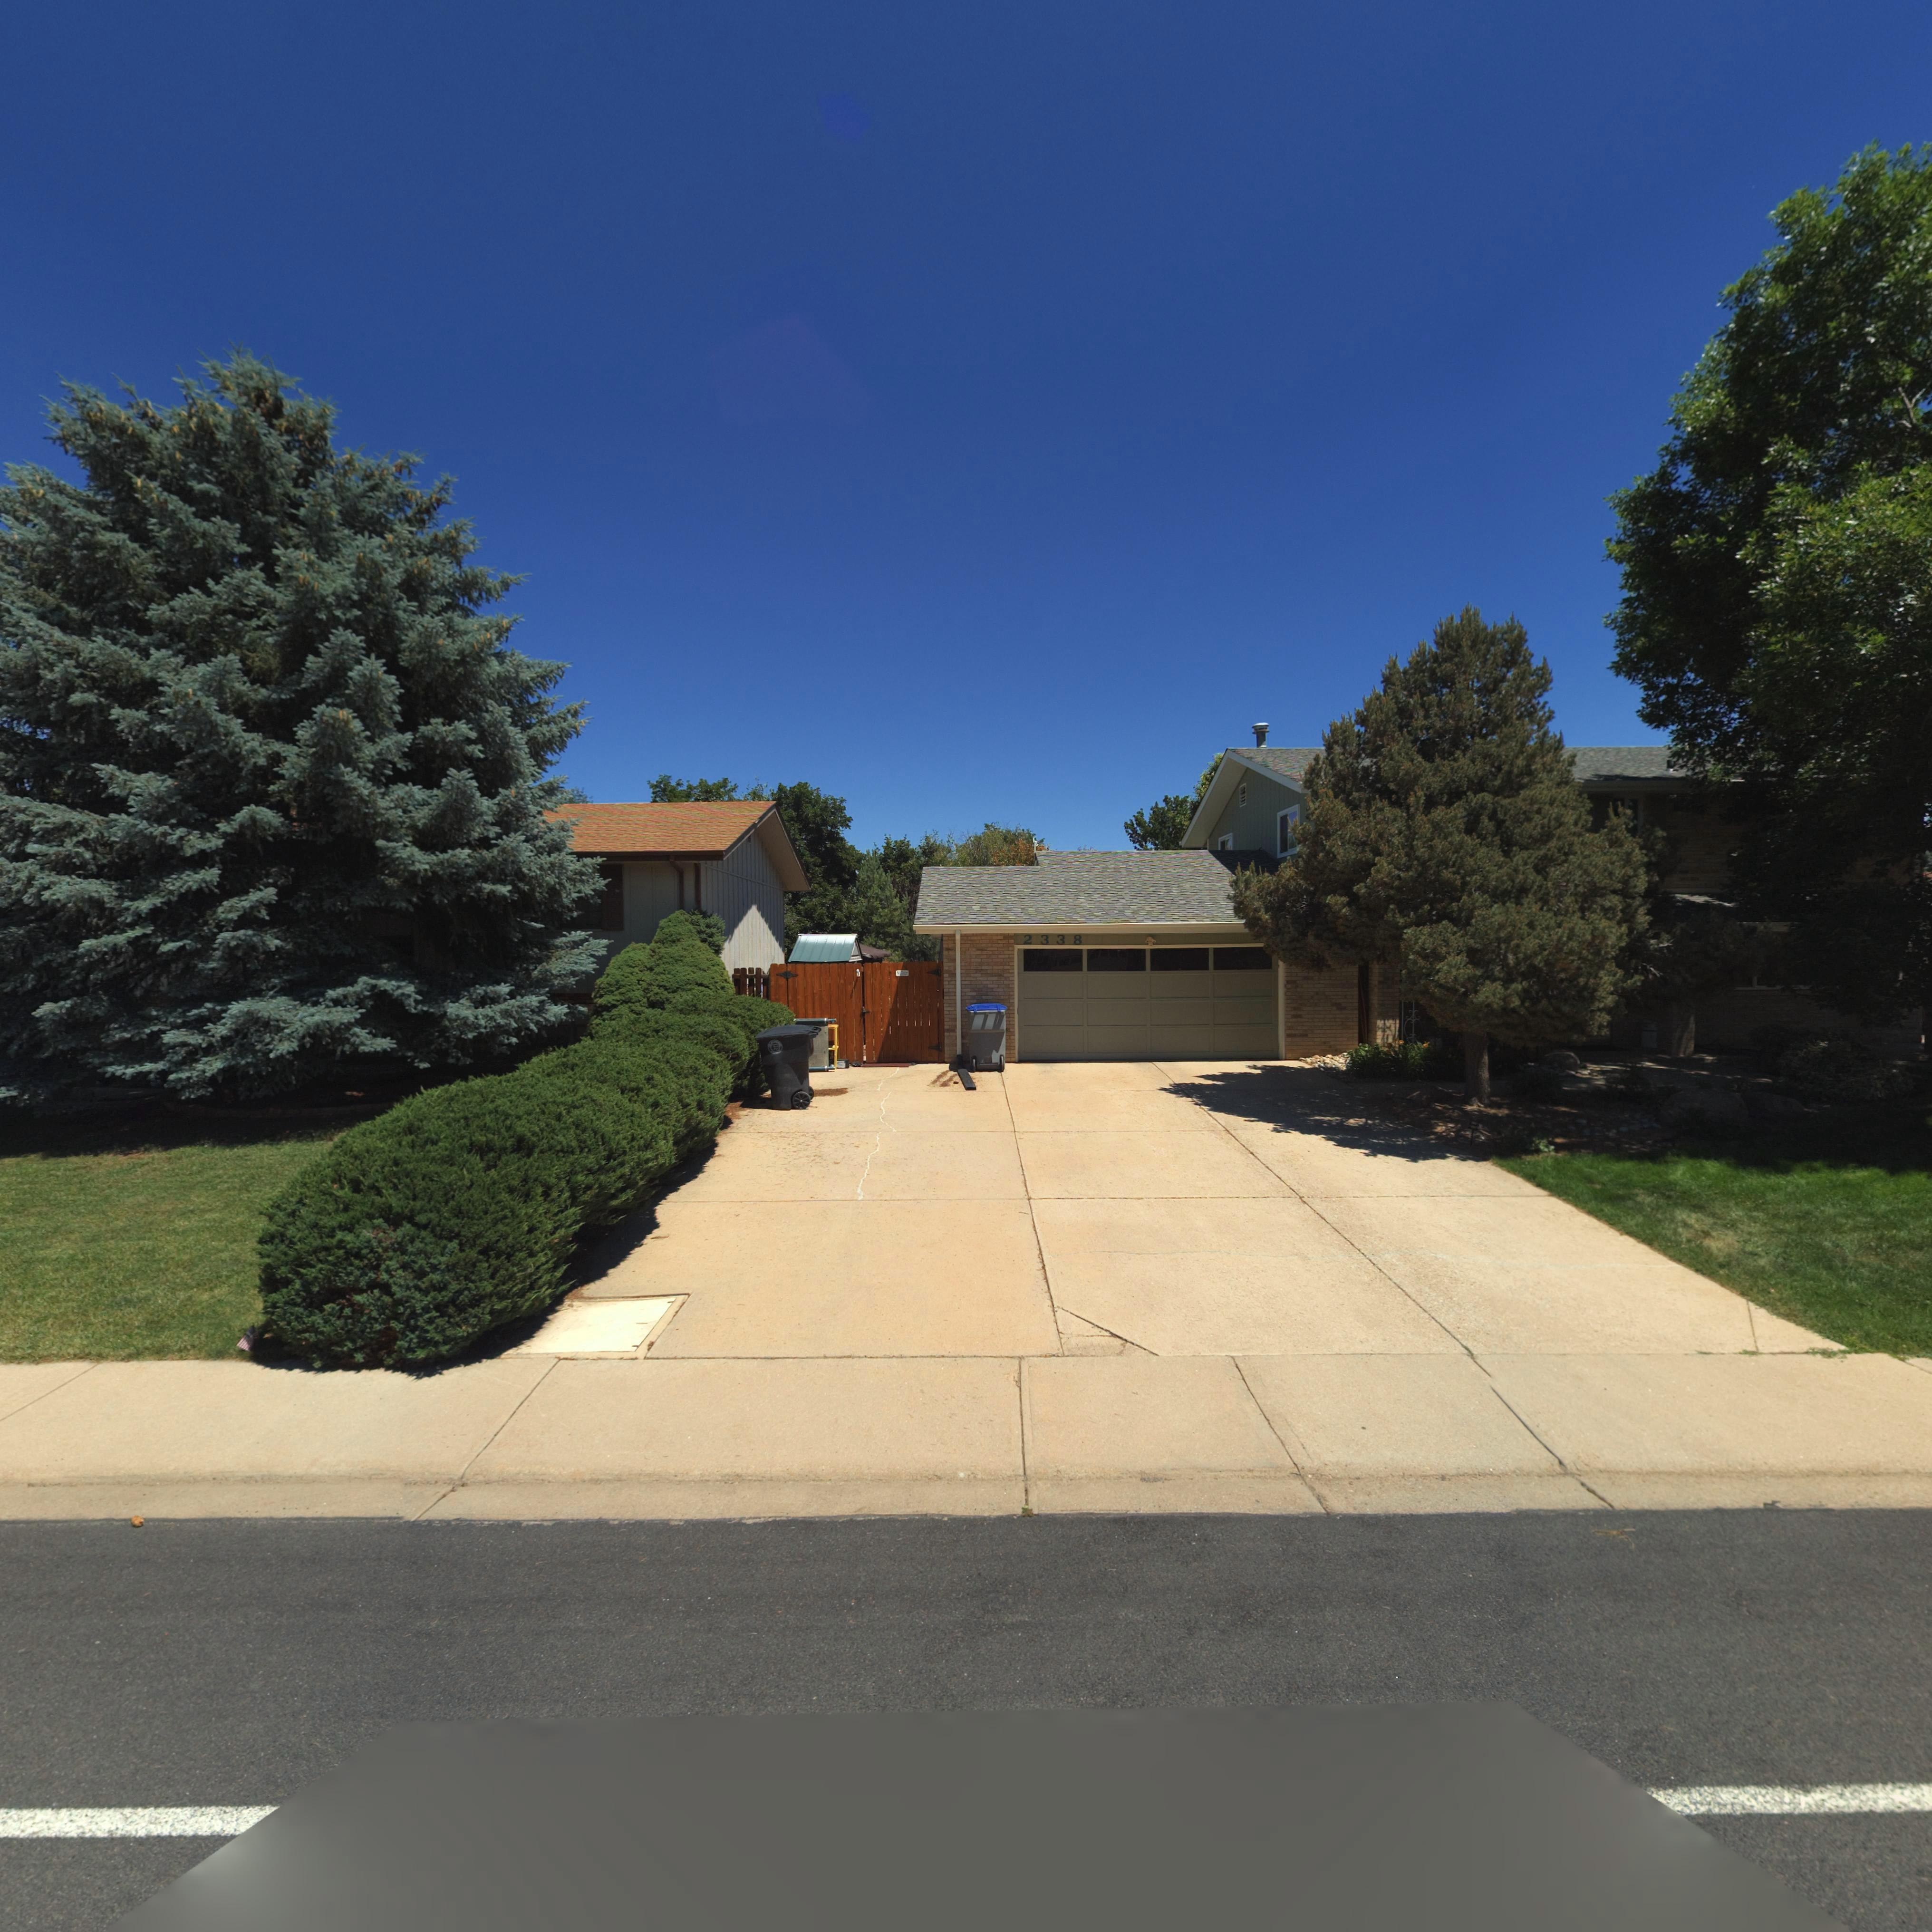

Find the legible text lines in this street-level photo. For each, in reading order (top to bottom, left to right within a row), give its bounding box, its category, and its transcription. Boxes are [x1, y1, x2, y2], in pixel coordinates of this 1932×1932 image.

[1023, 934, 1082, 945] StreetNumber: 2338